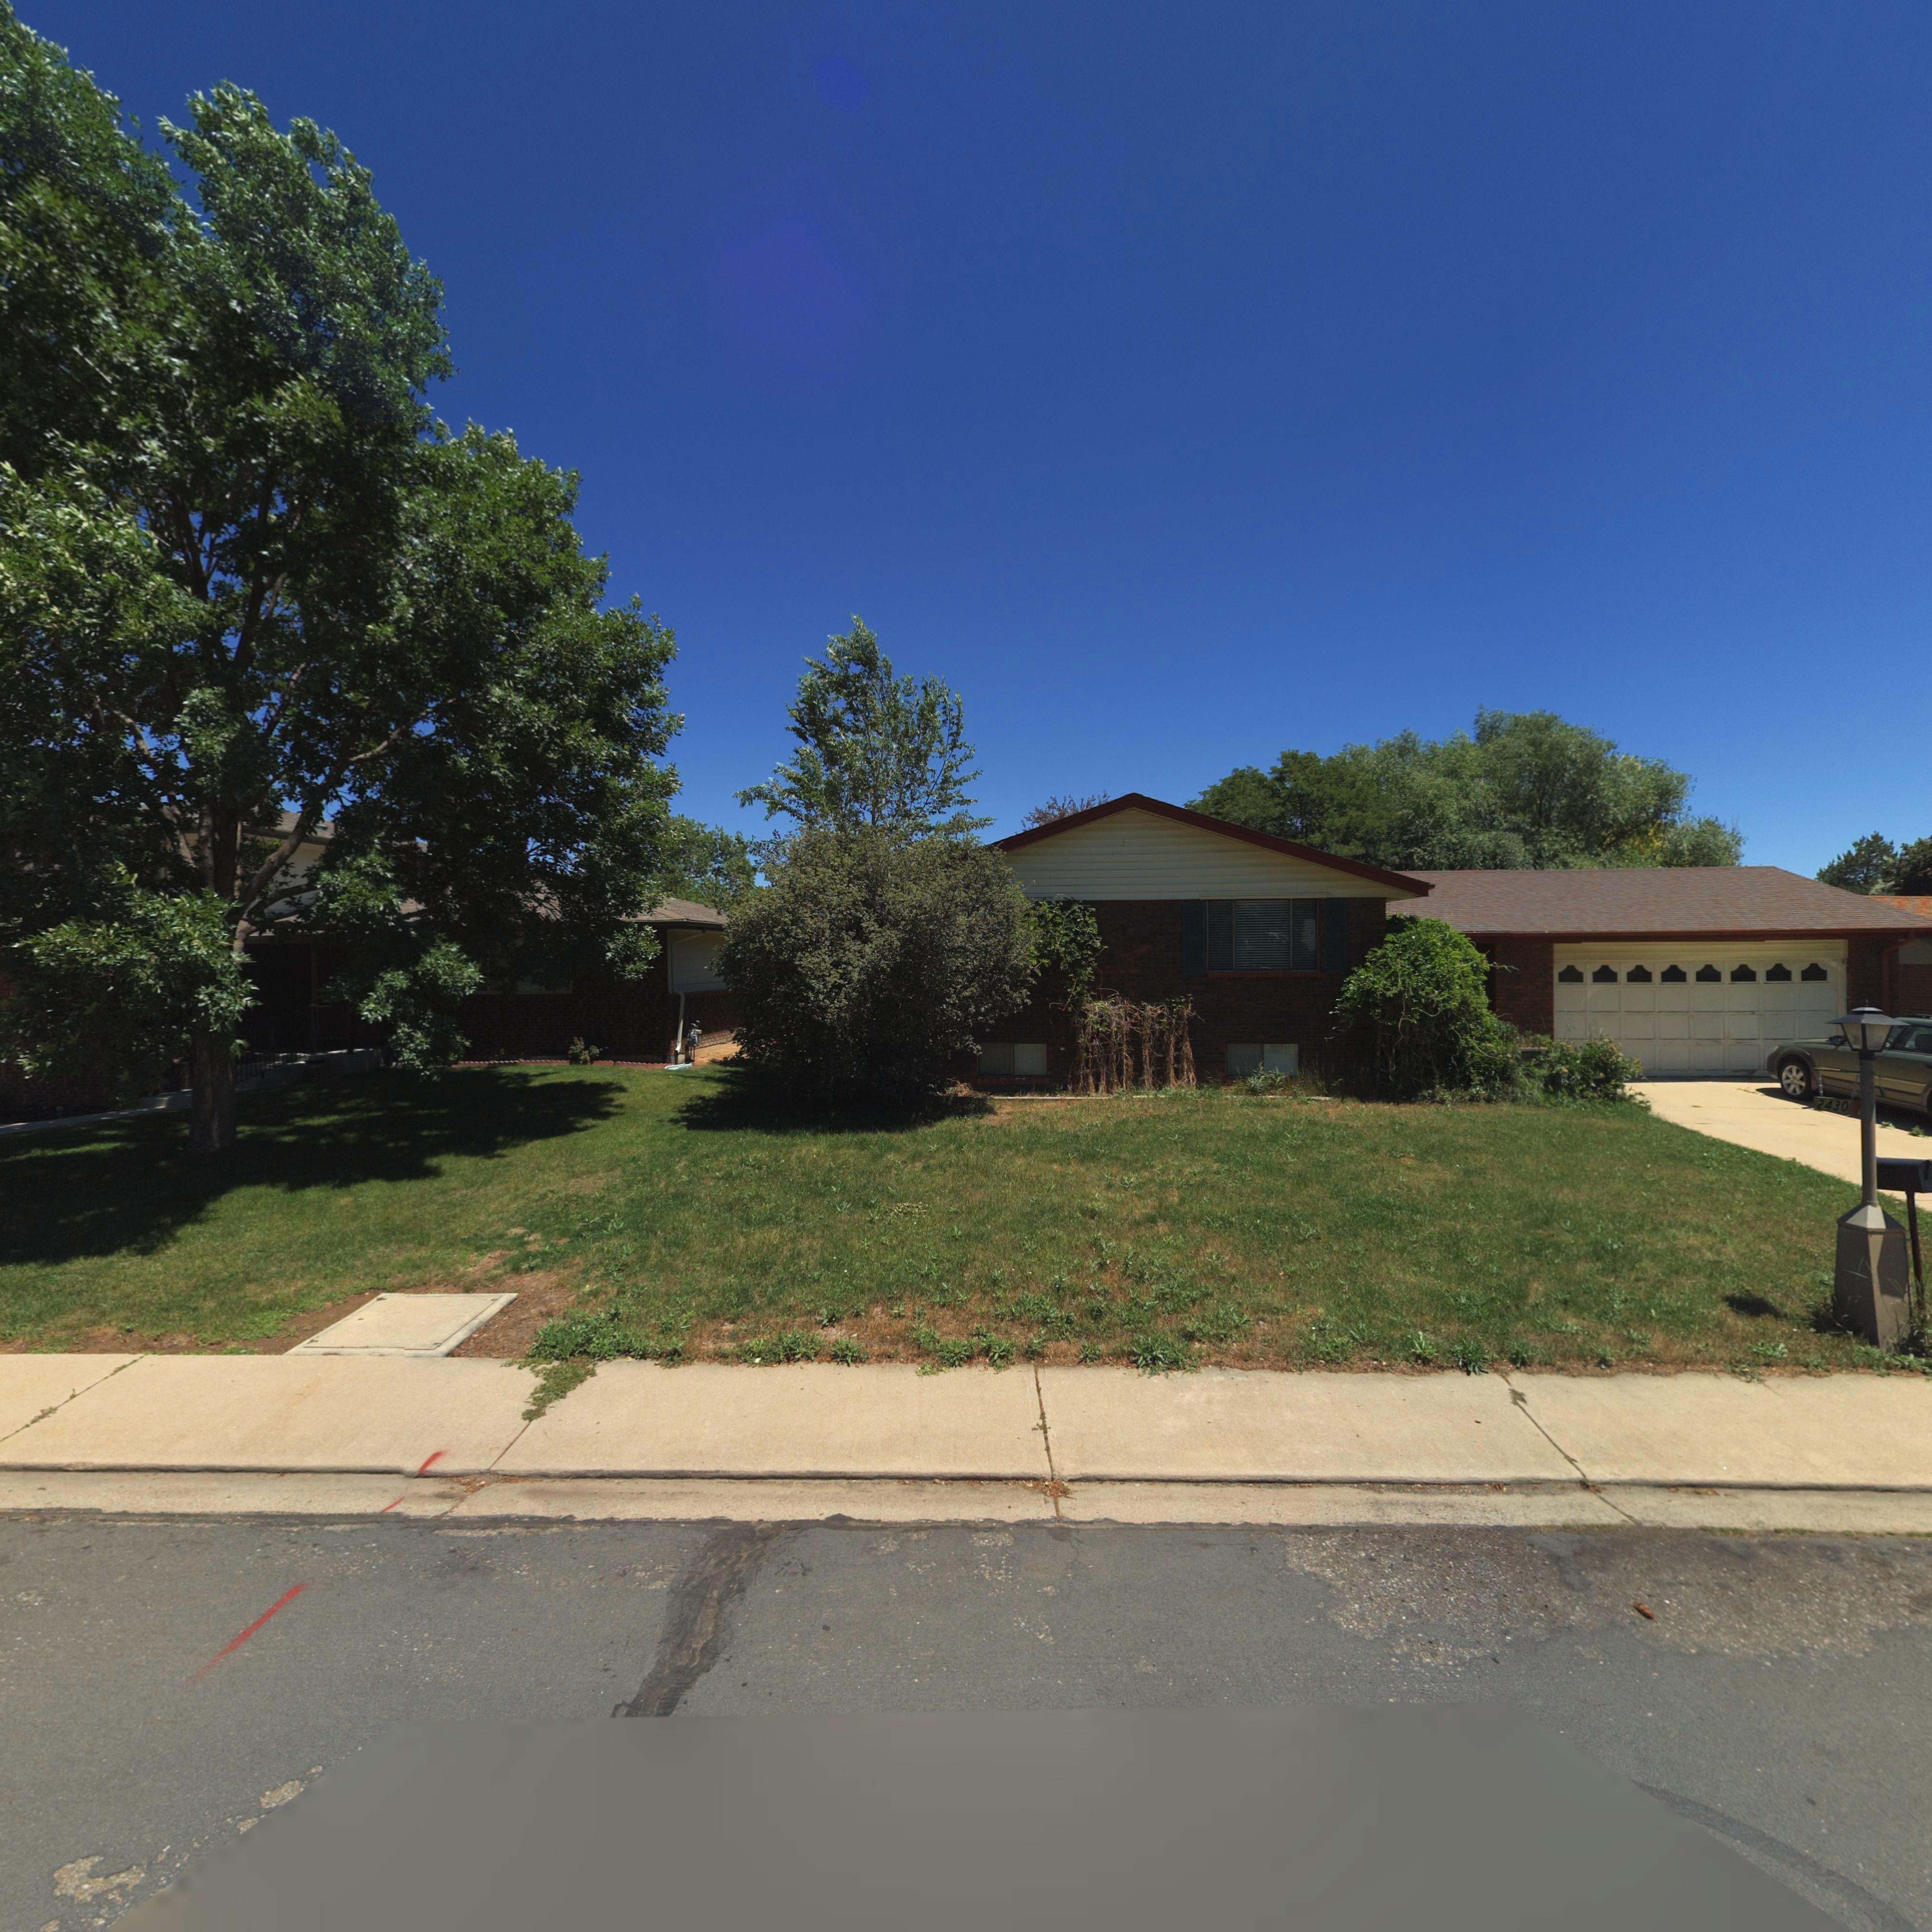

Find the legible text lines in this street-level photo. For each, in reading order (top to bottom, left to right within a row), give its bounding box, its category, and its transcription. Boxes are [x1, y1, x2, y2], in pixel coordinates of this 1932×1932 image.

[1816, 1098, 1849, 1112] StreetNumber: 2430